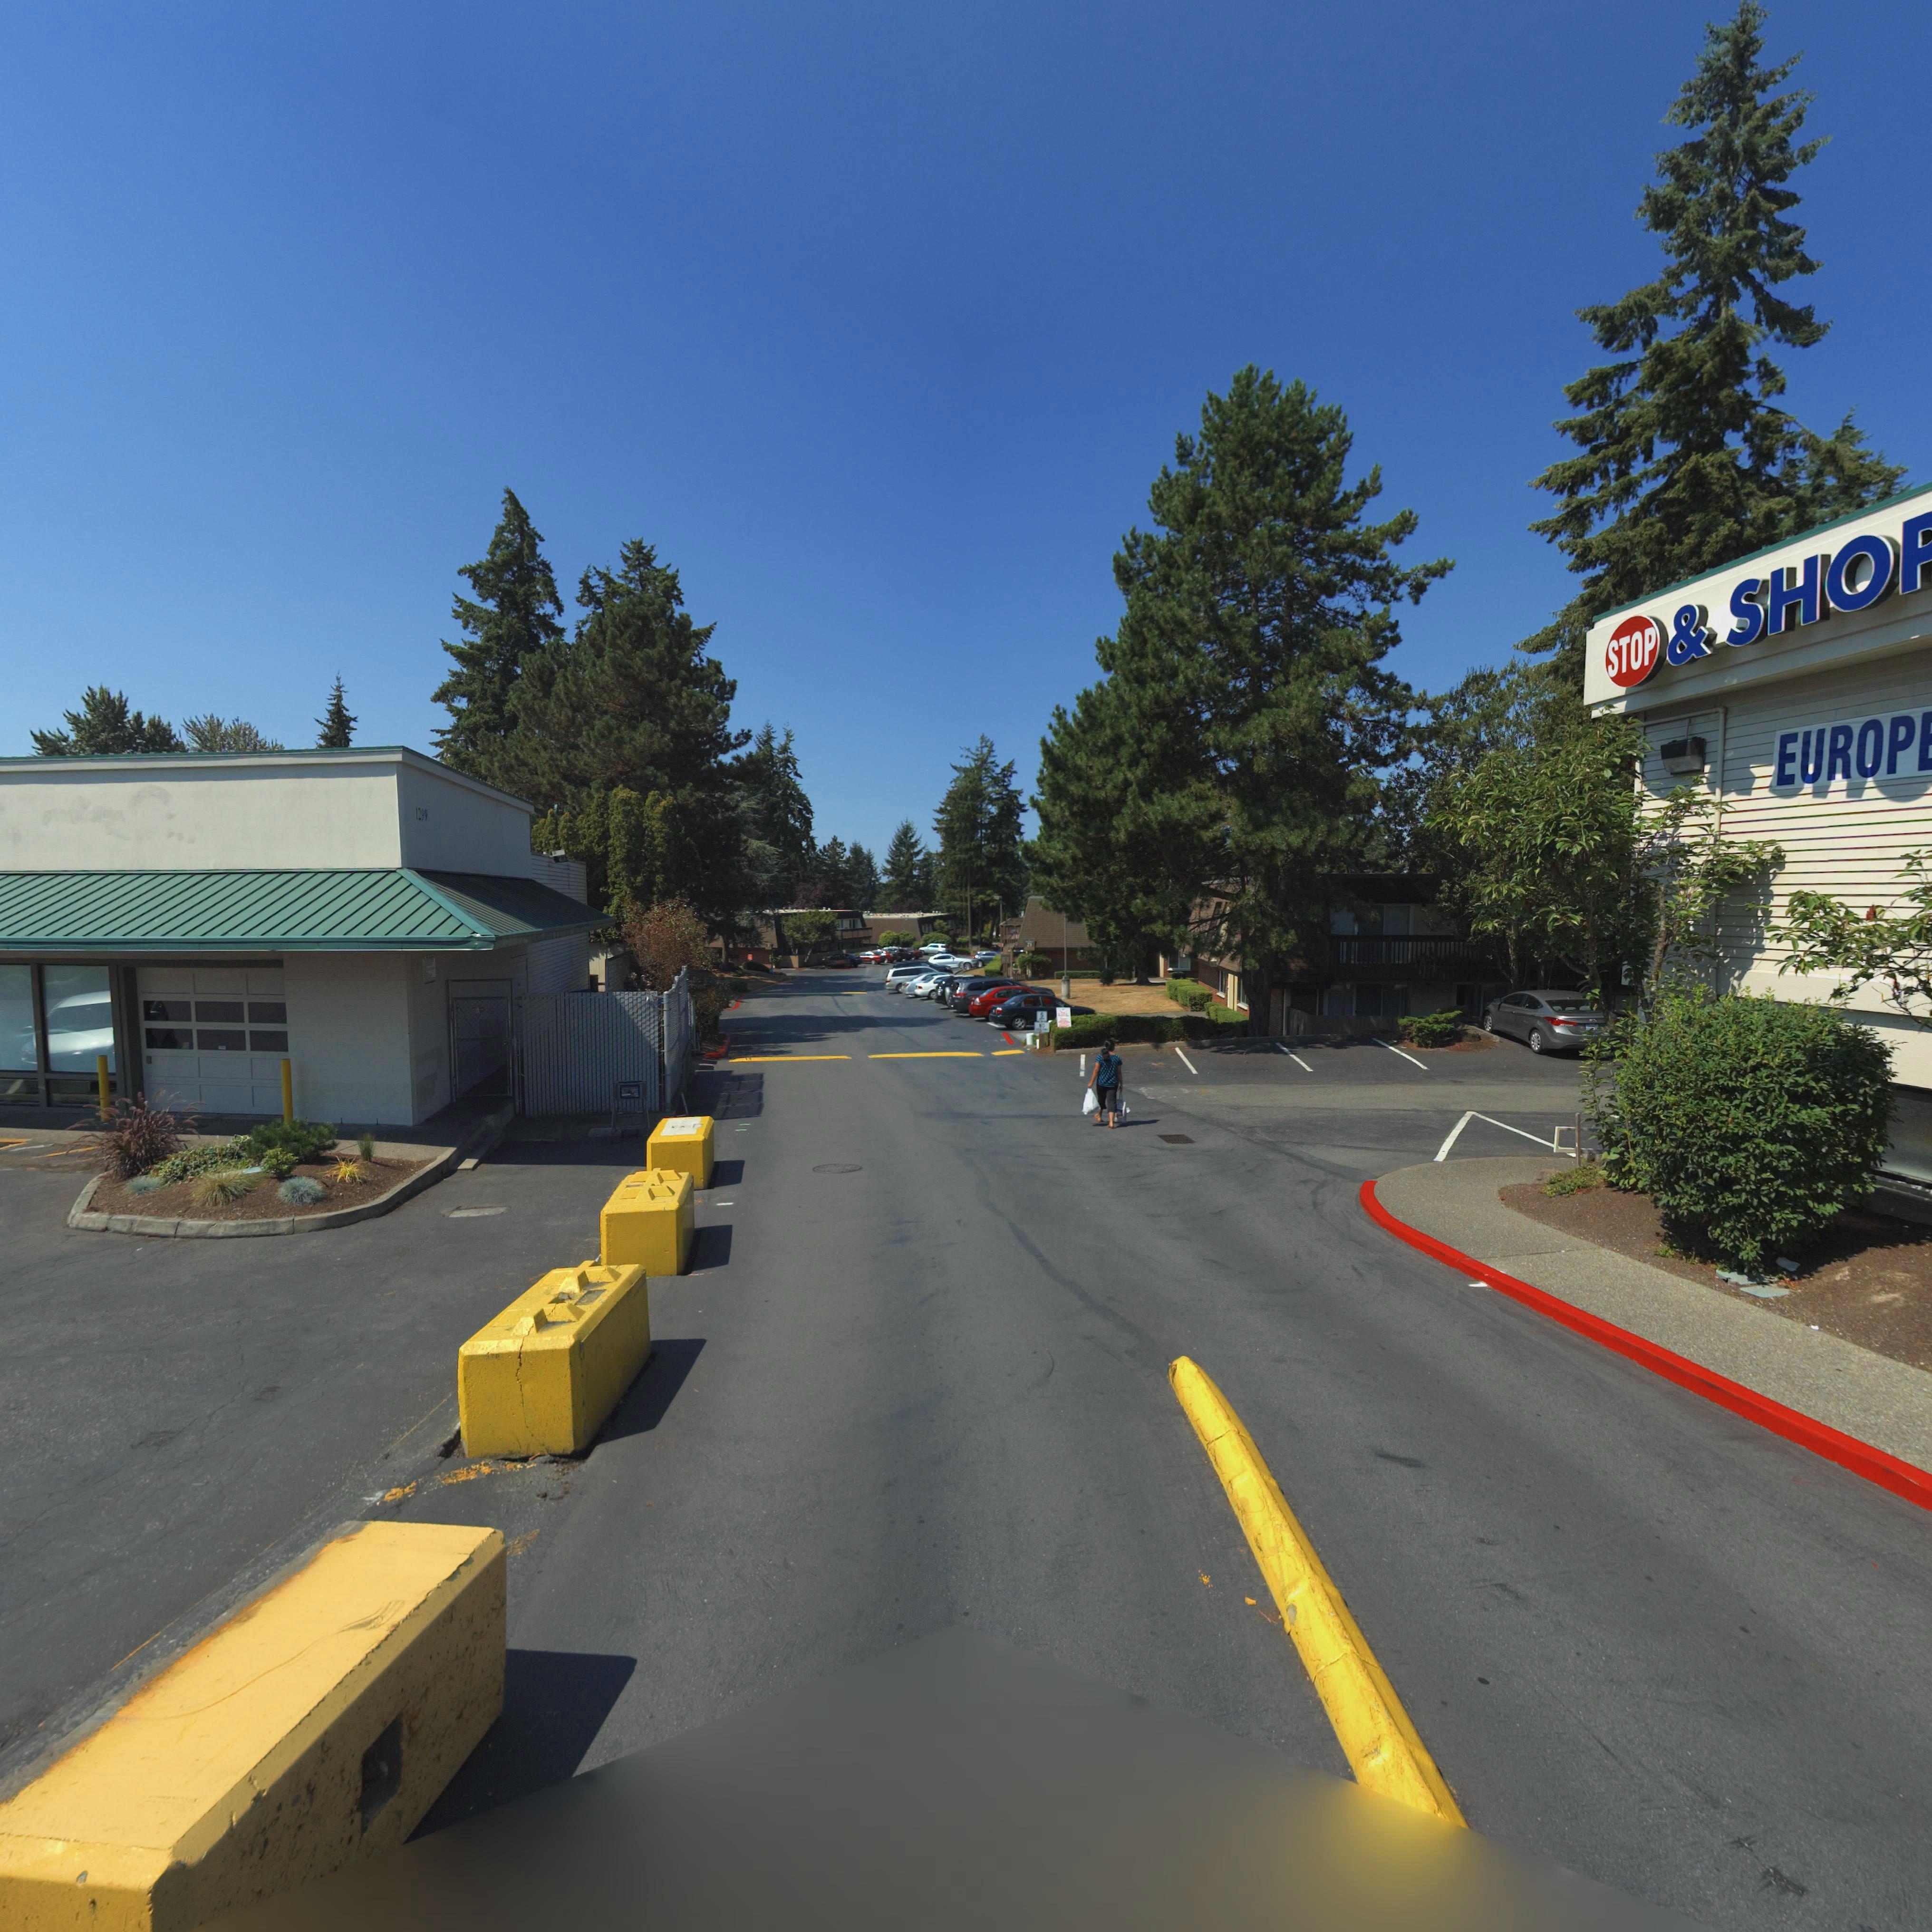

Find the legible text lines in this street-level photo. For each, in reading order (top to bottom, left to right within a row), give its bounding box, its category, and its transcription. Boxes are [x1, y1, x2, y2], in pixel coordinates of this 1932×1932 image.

[1723, 511, 1930, 652] BusinessName: SHOP
[1772, 708, 1931, 788] BusinessName: EUROP*
[415, 807, 428, 821] StreetNumber: 1299